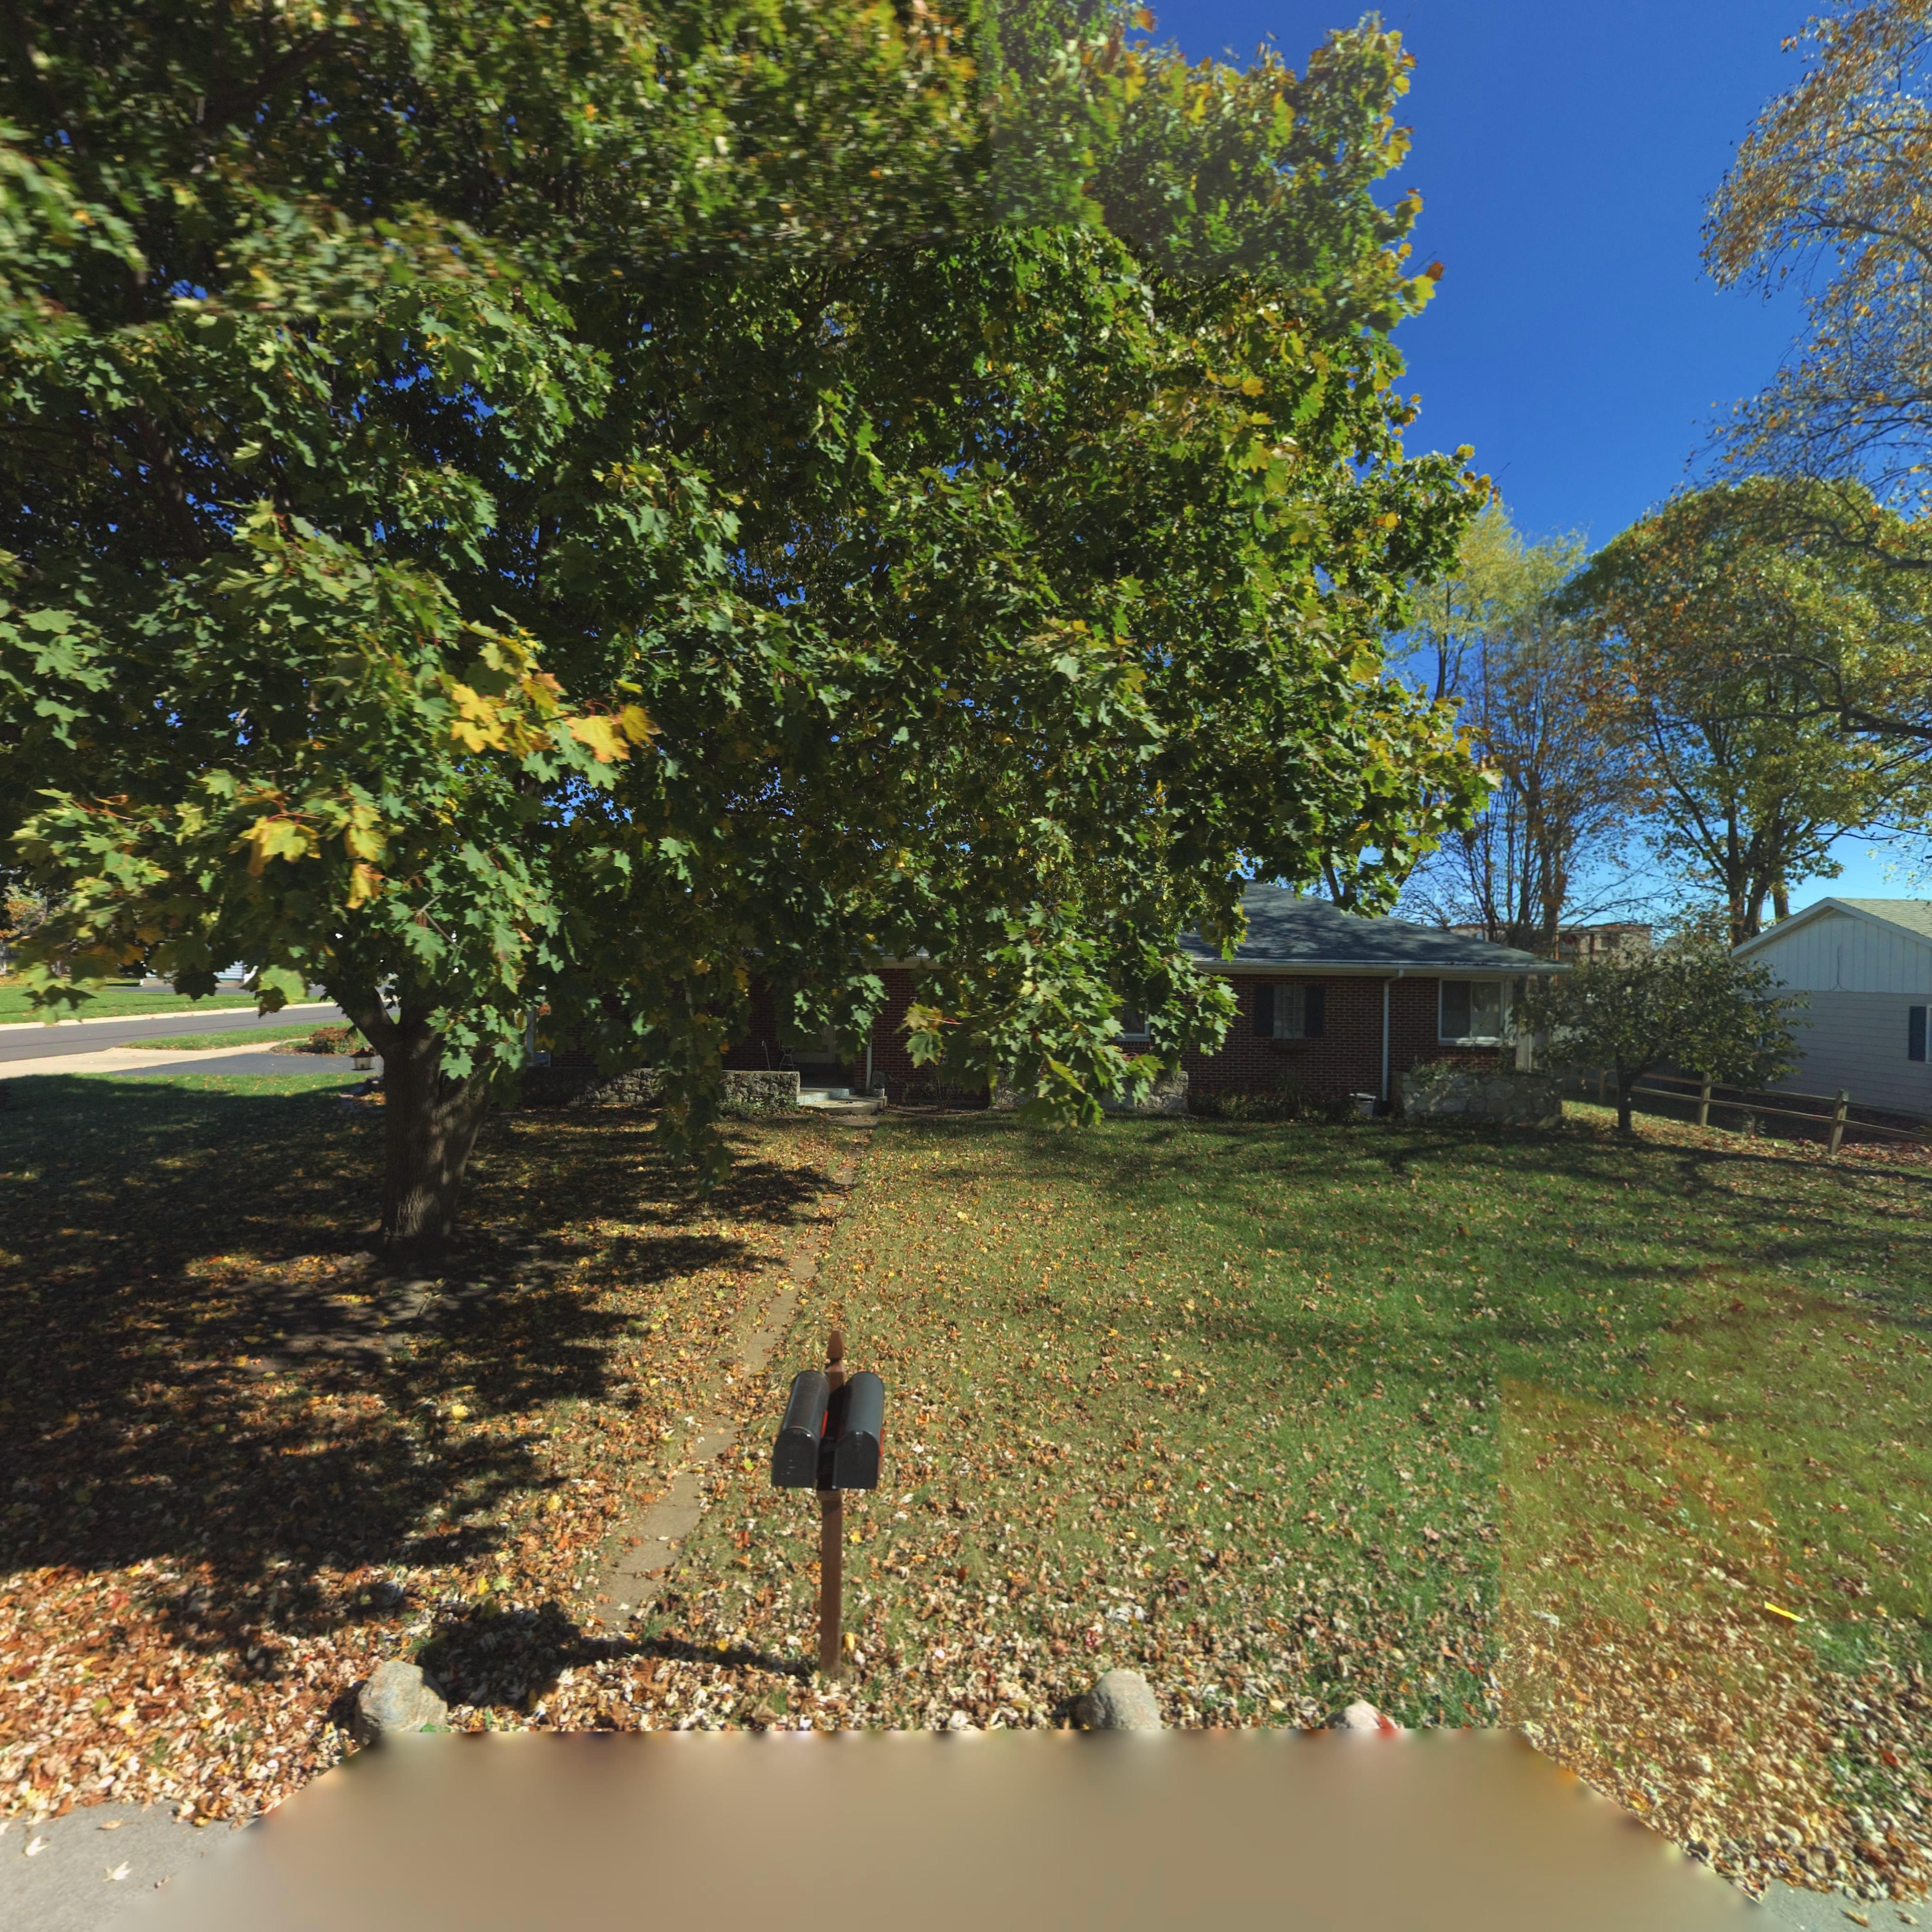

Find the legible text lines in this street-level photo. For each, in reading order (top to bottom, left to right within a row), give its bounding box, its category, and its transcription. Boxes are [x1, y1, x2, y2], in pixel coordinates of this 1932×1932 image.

[910, 996, 918, 1005] StreetNumber: 7